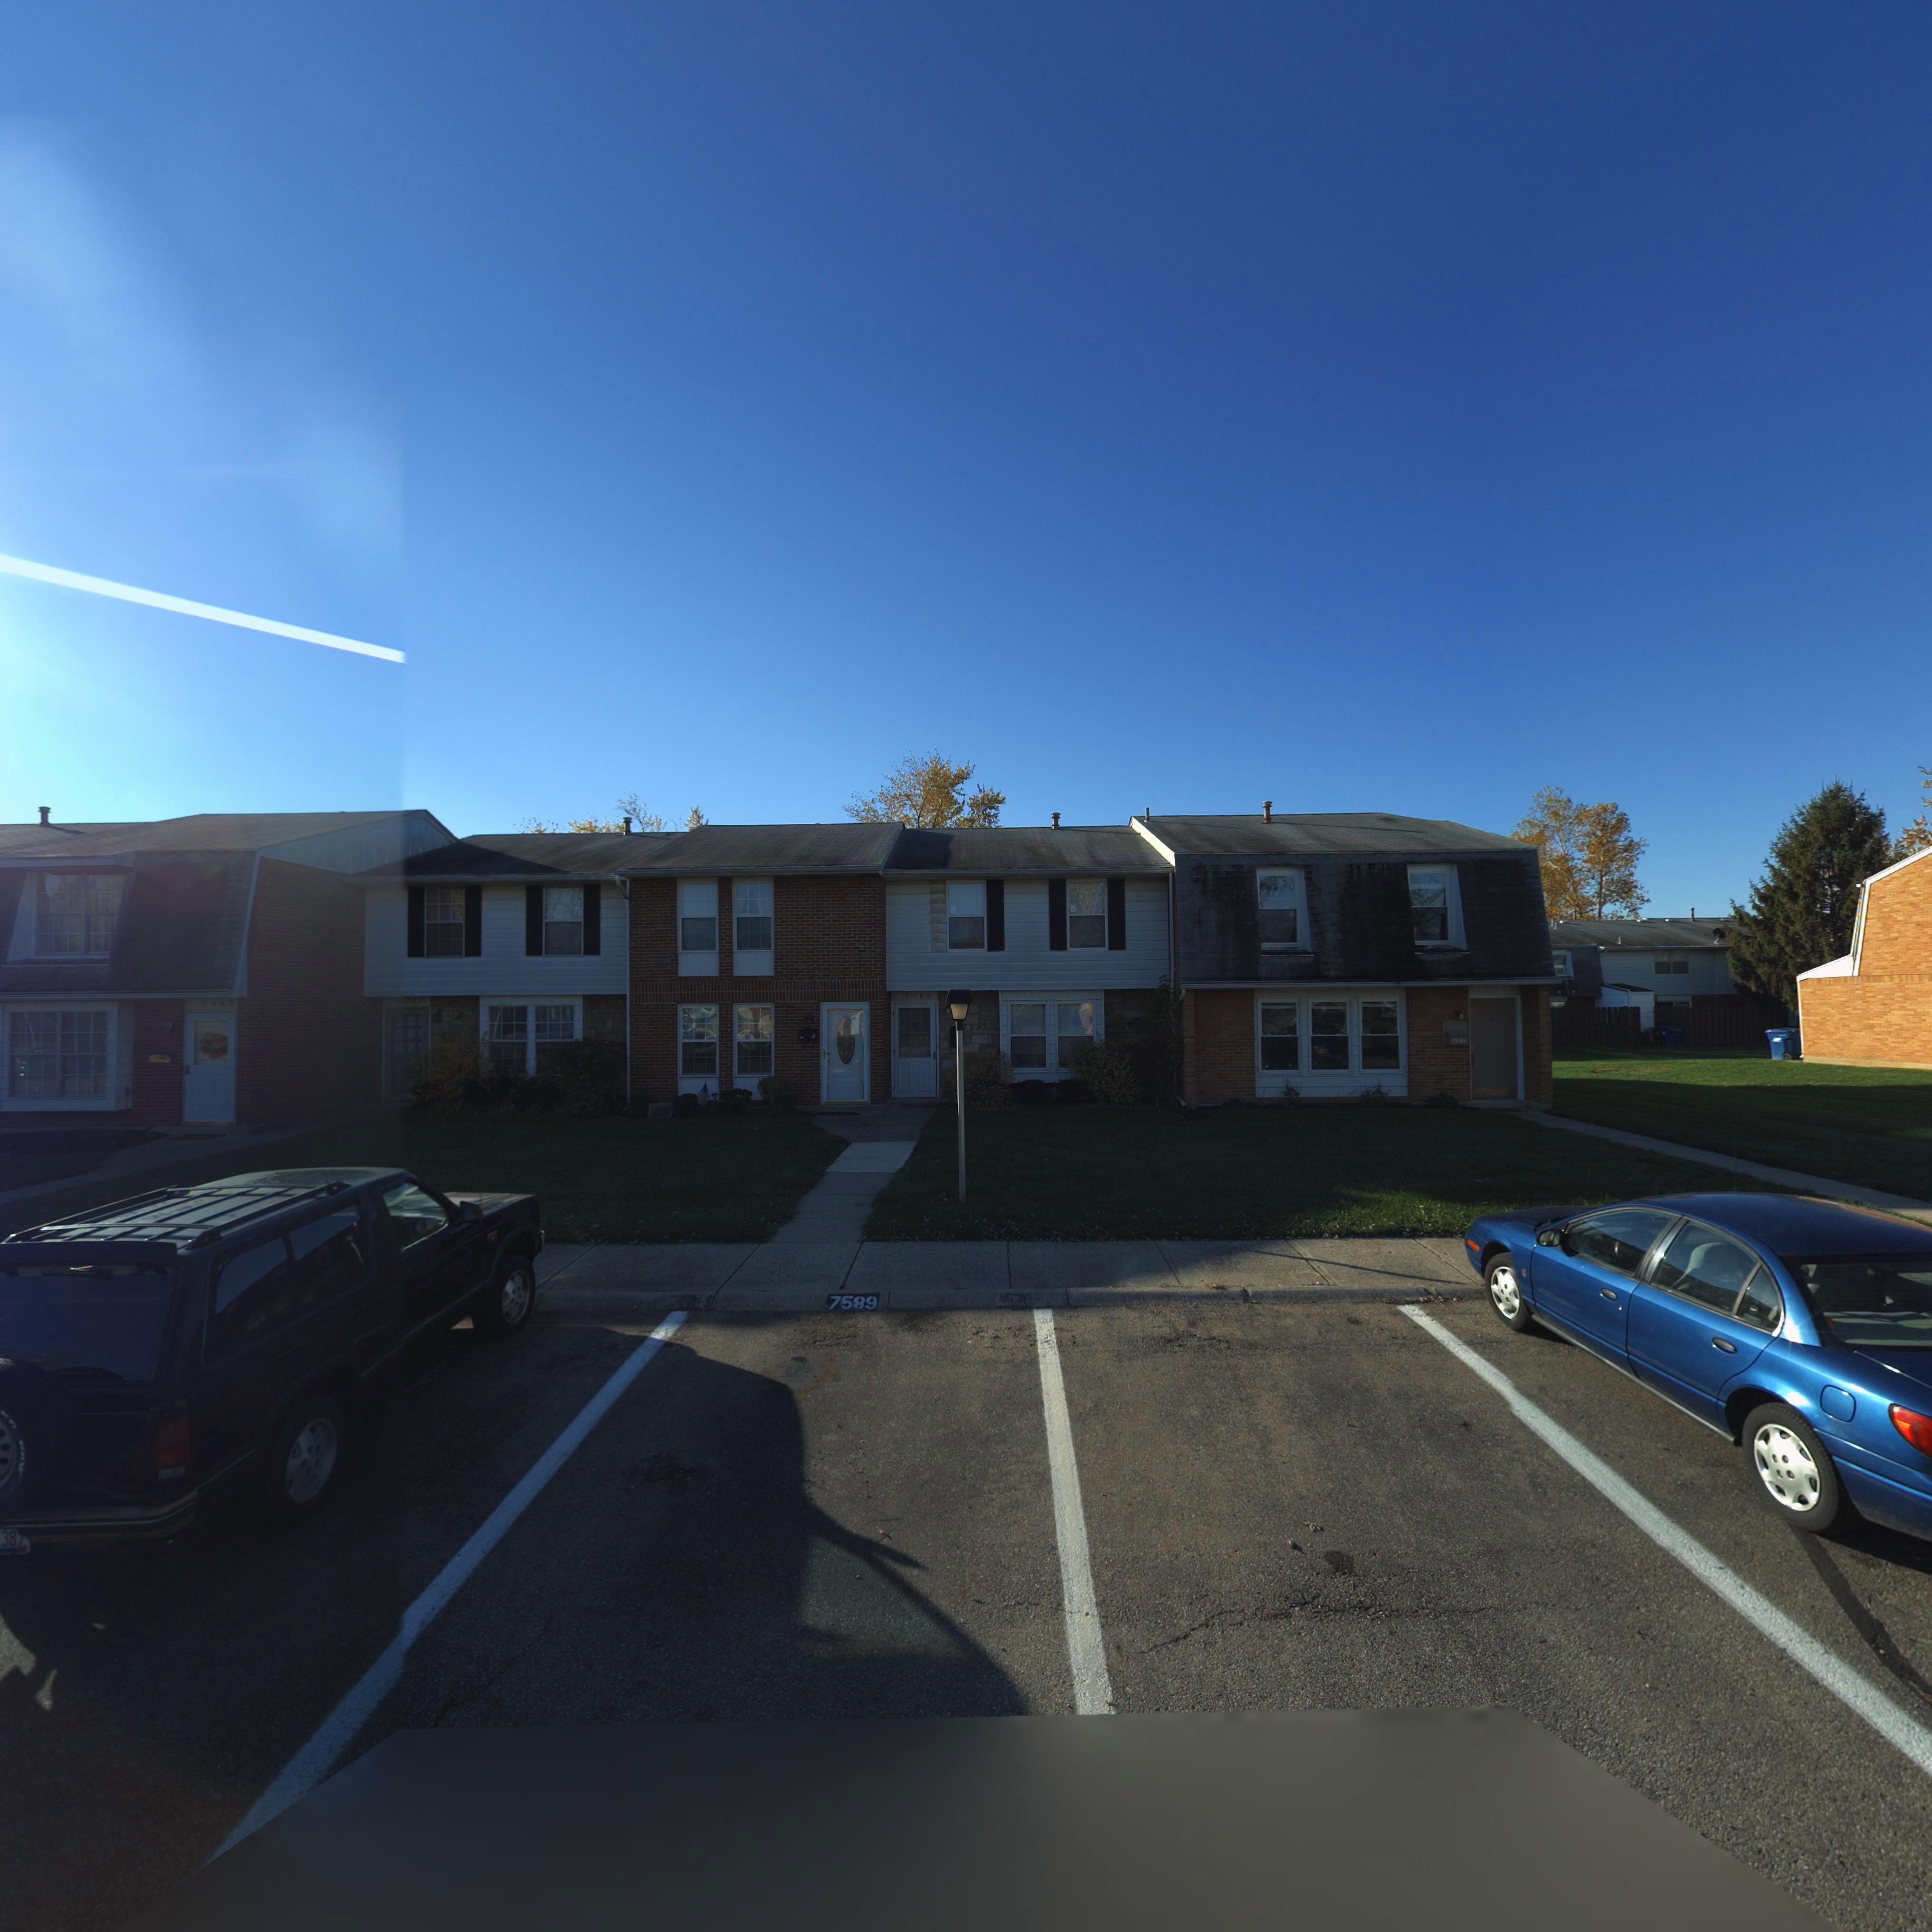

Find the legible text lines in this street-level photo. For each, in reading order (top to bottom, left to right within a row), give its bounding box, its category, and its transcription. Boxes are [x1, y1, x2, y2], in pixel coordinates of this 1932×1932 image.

[904, 992, 930, 999] StreetNumber: 7589
[201, 999, 234, 1008] StreetNumber: 758*
[411, 997, 424, 1004] StreetNumber: 87
[827, 1295, 878, 1310] StreetNumber: 7589